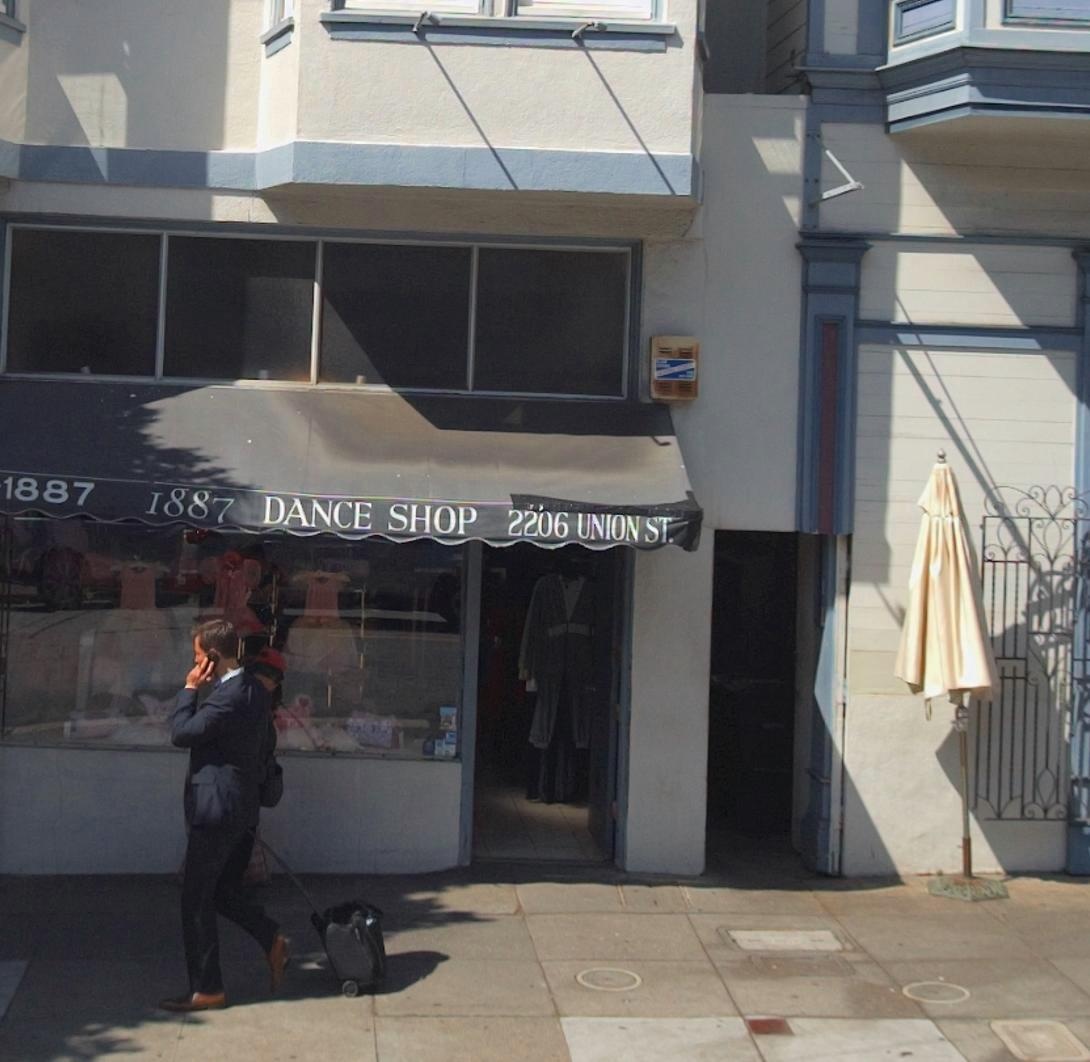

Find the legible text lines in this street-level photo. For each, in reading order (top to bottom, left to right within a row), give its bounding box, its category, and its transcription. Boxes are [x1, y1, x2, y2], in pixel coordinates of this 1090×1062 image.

[1, 475, 97, 506] StreetNumber: 1887
[142, 487, 237, 525] StreetNumber: 1887
[263, 495, 479, 536] None: DANCE SHOP
[508, 509, 570, 539] StreetNumber: 2206
[577, 512, 675, 545] StreetName: UNION ST.